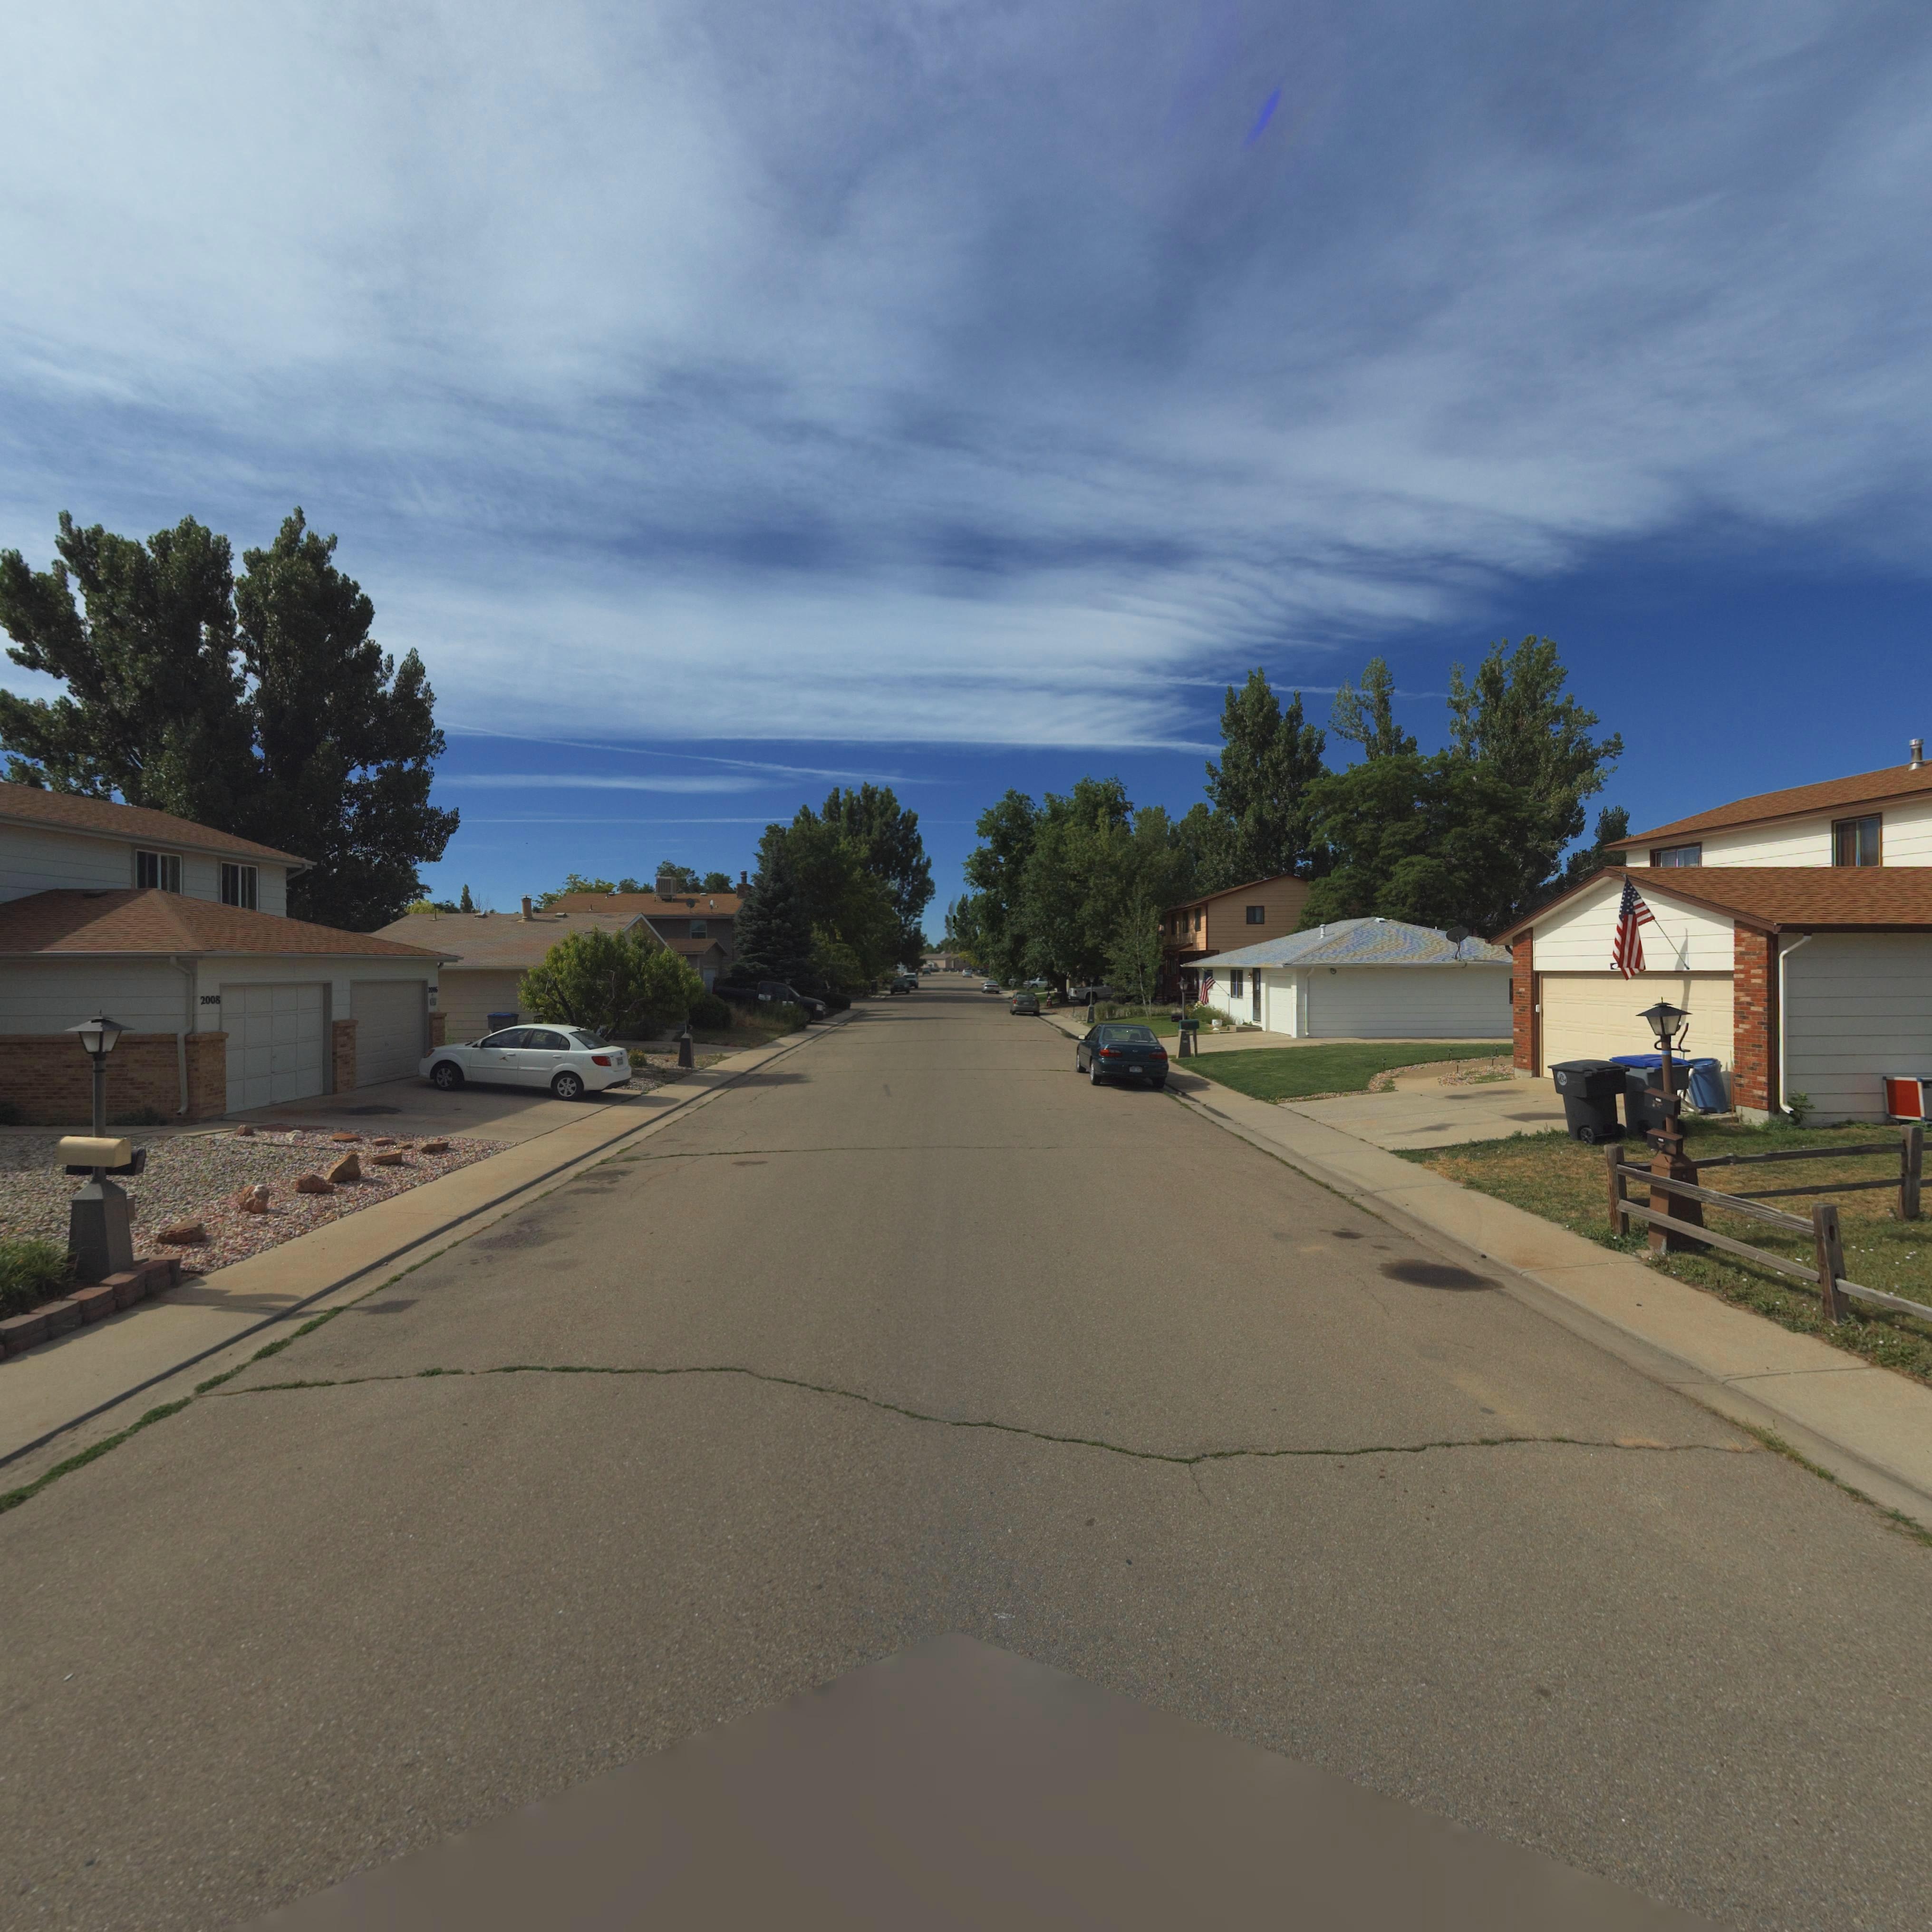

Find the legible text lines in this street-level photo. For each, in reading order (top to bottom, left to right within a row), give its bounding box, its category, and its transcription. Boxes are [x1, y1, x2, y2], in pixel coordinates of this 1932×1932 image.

[428, 986, 438, 994] StreetNumber: 2006
[199, 995, 220, 1005] StreetNumber: 2008